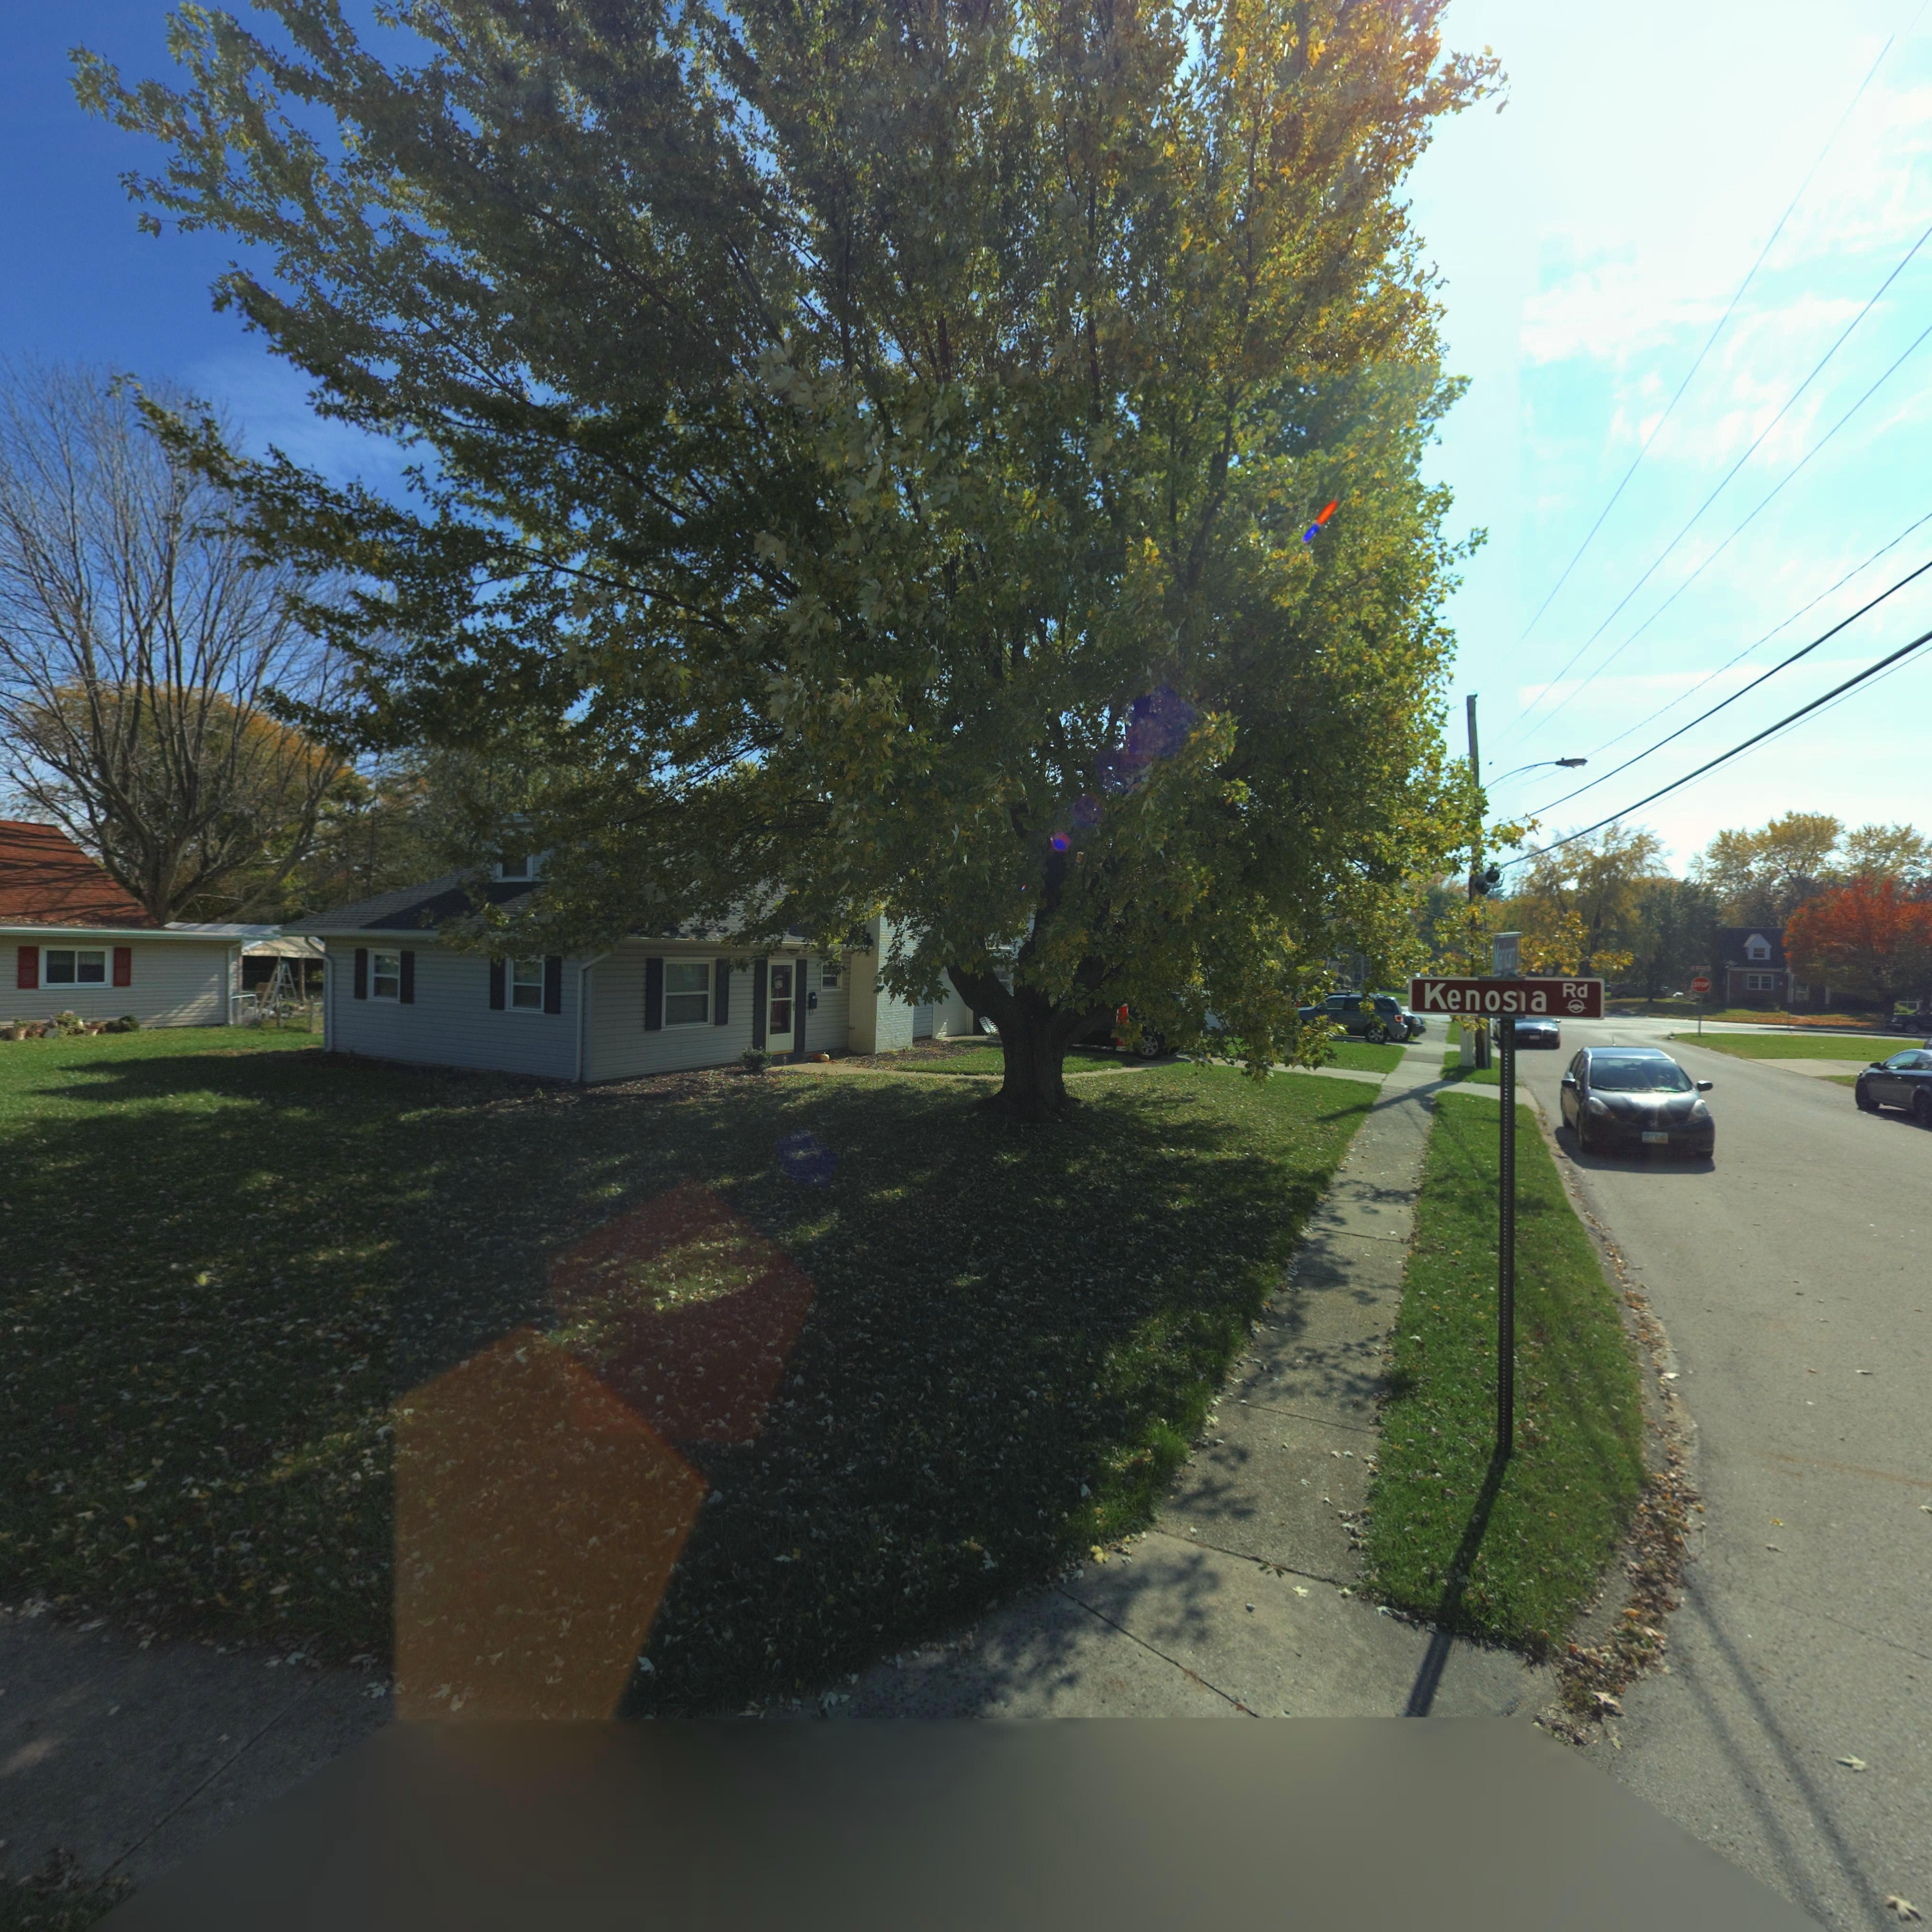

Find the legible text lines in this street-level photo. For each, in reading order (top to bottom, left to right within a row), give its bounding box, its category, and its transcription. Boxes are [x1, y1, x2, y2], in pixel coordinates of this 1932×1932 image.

[1422, 979, 1590, 1015] StreetName: Kenos*a Rd
[1692, 980, 1710, 988] None: STOP